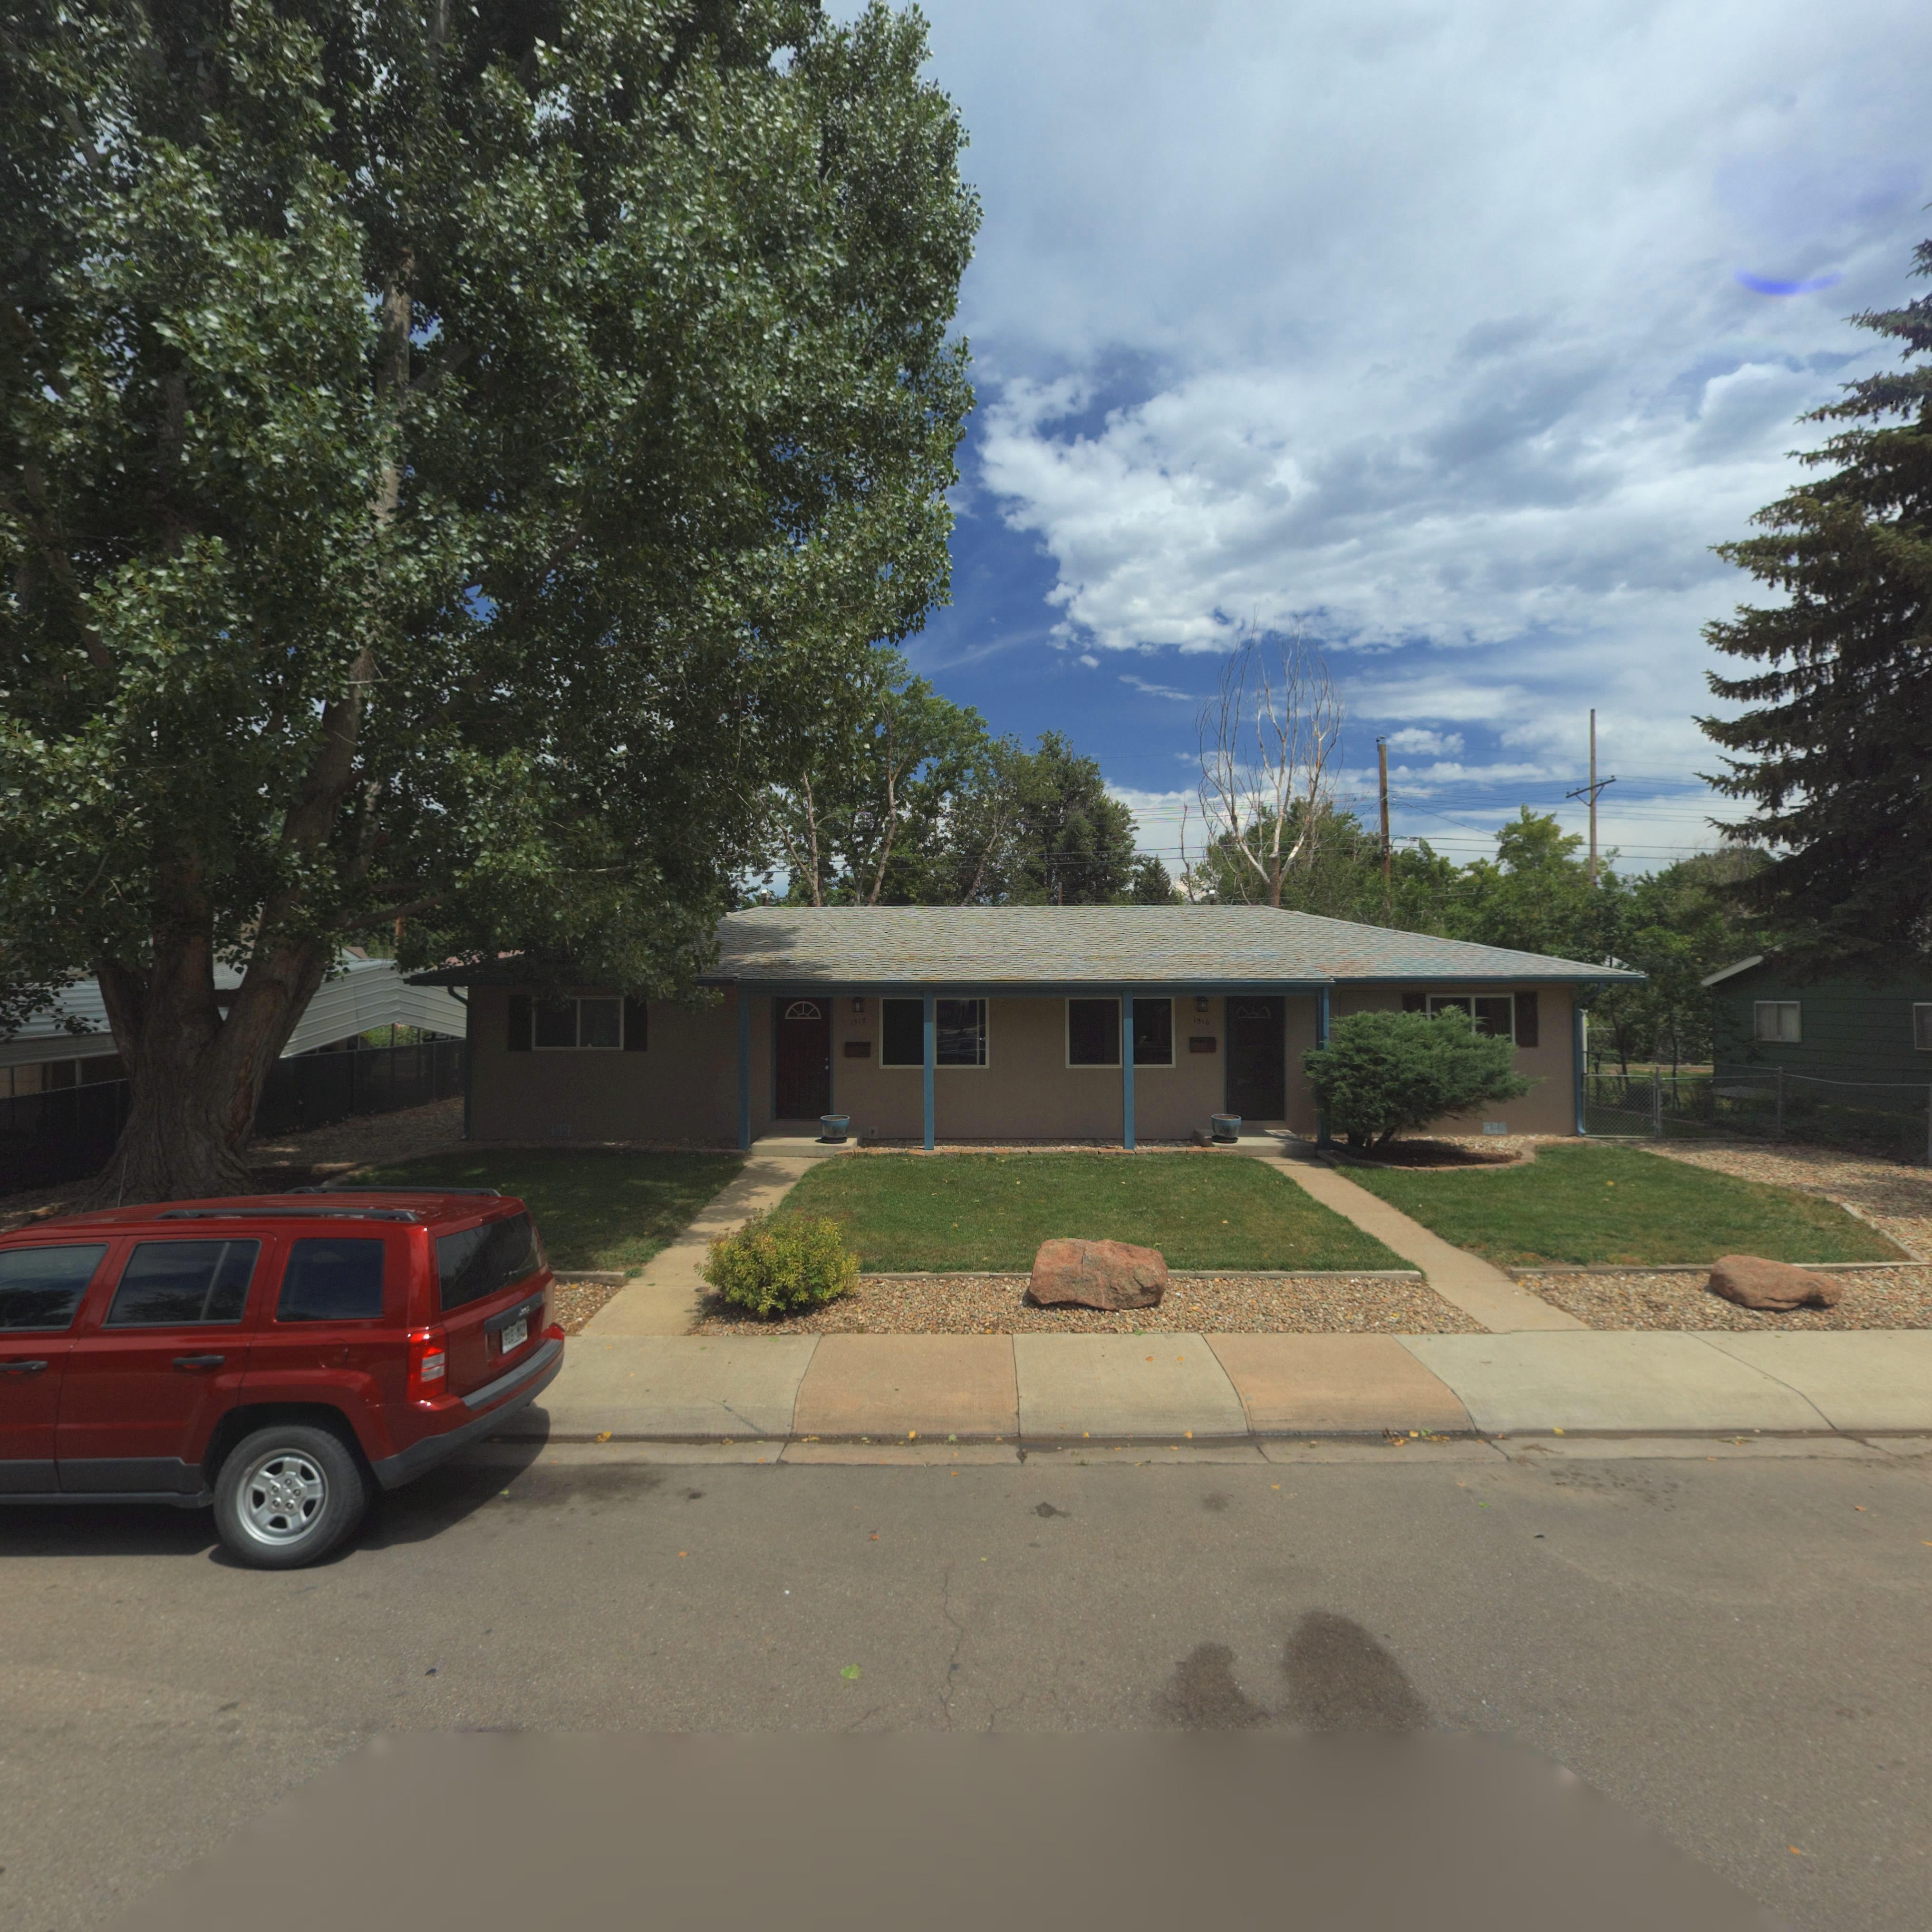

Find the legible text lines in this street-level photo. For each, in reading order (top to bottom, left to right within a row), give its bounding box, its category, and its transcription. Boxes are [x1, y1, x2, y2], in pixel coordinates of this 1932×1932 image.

[850, 1016, 866, 1026] StreetNumber: 1518
[1193, 1015, 1209, 1026] StreetNumber: 1516